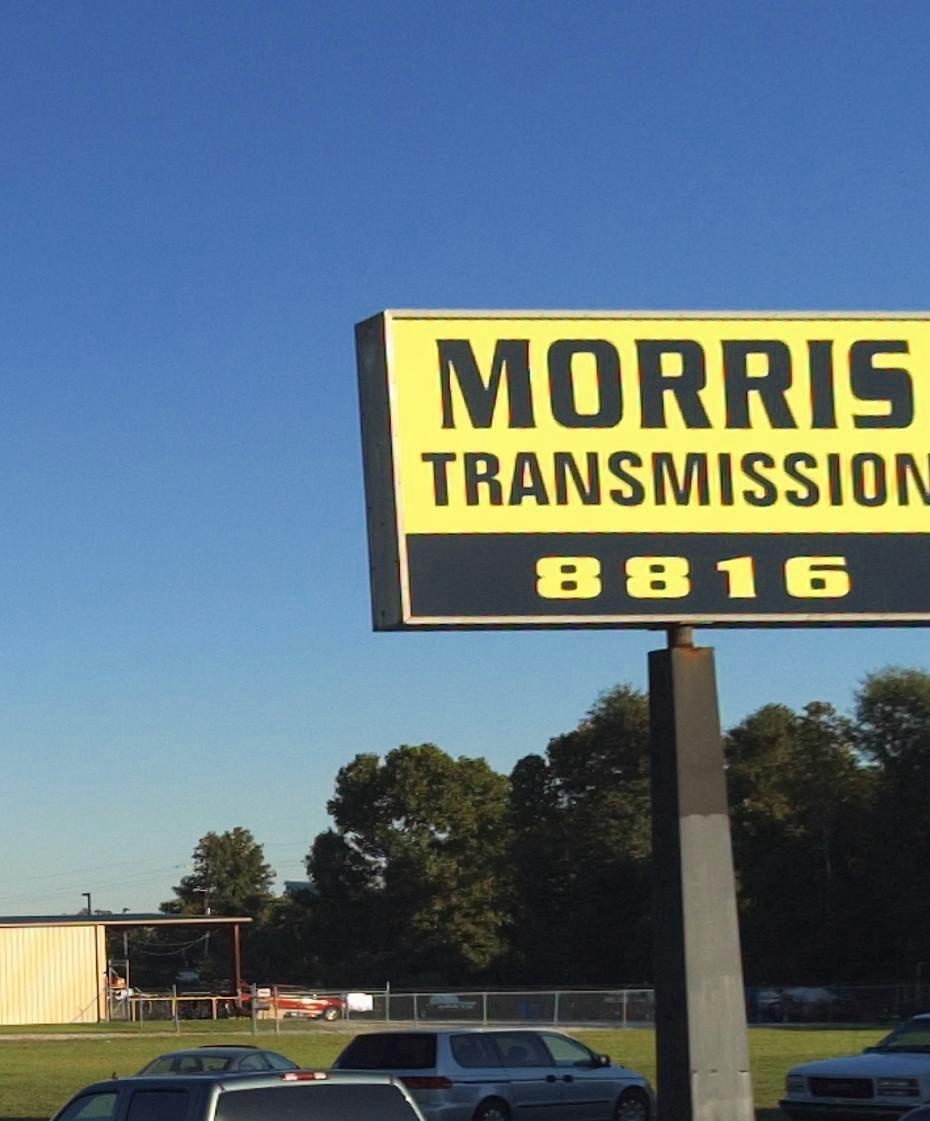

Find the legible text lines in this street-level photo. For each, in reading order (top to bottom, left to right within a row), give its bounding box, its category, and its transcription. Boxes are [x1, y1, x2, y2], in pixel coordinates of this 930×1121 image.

[434, 337, 915, 430] BusinessName: MORRIS
[420, 450, 889, 509] BusinessName: TRANSMISSIO
[532, 555, 853, 601] StreetNumber: 8816